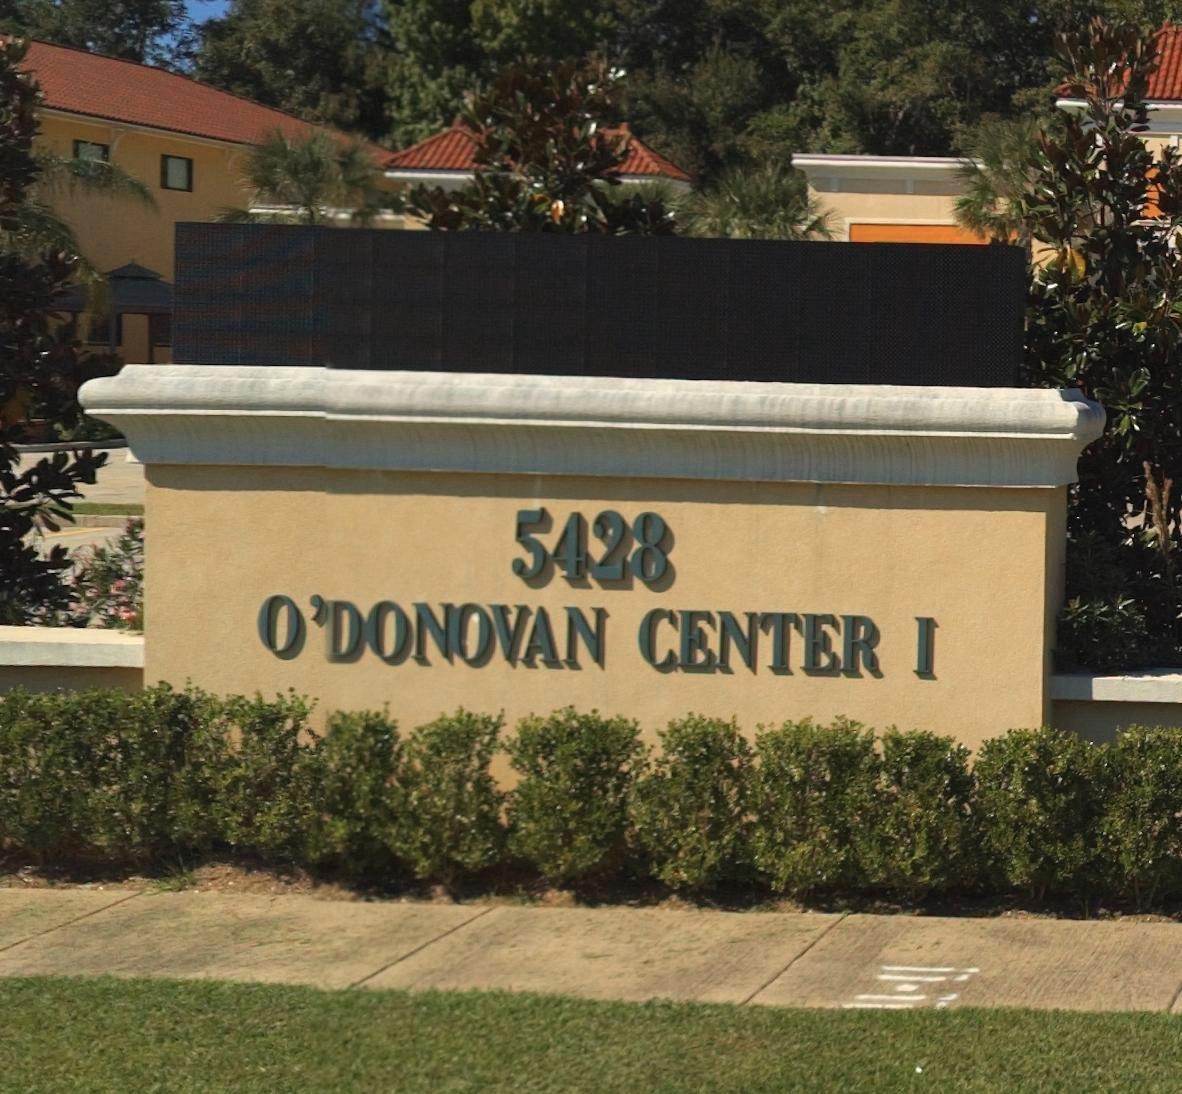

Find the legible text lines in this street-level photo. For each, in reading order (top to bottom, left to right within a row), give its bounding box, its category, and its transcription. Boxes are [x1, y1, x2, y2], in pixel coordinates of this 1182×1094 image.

[508, 505, 669, 585] StreetNumber: 5428
[253, 591, 936, 679] BusinessName: O'DONOVAN CENTER I